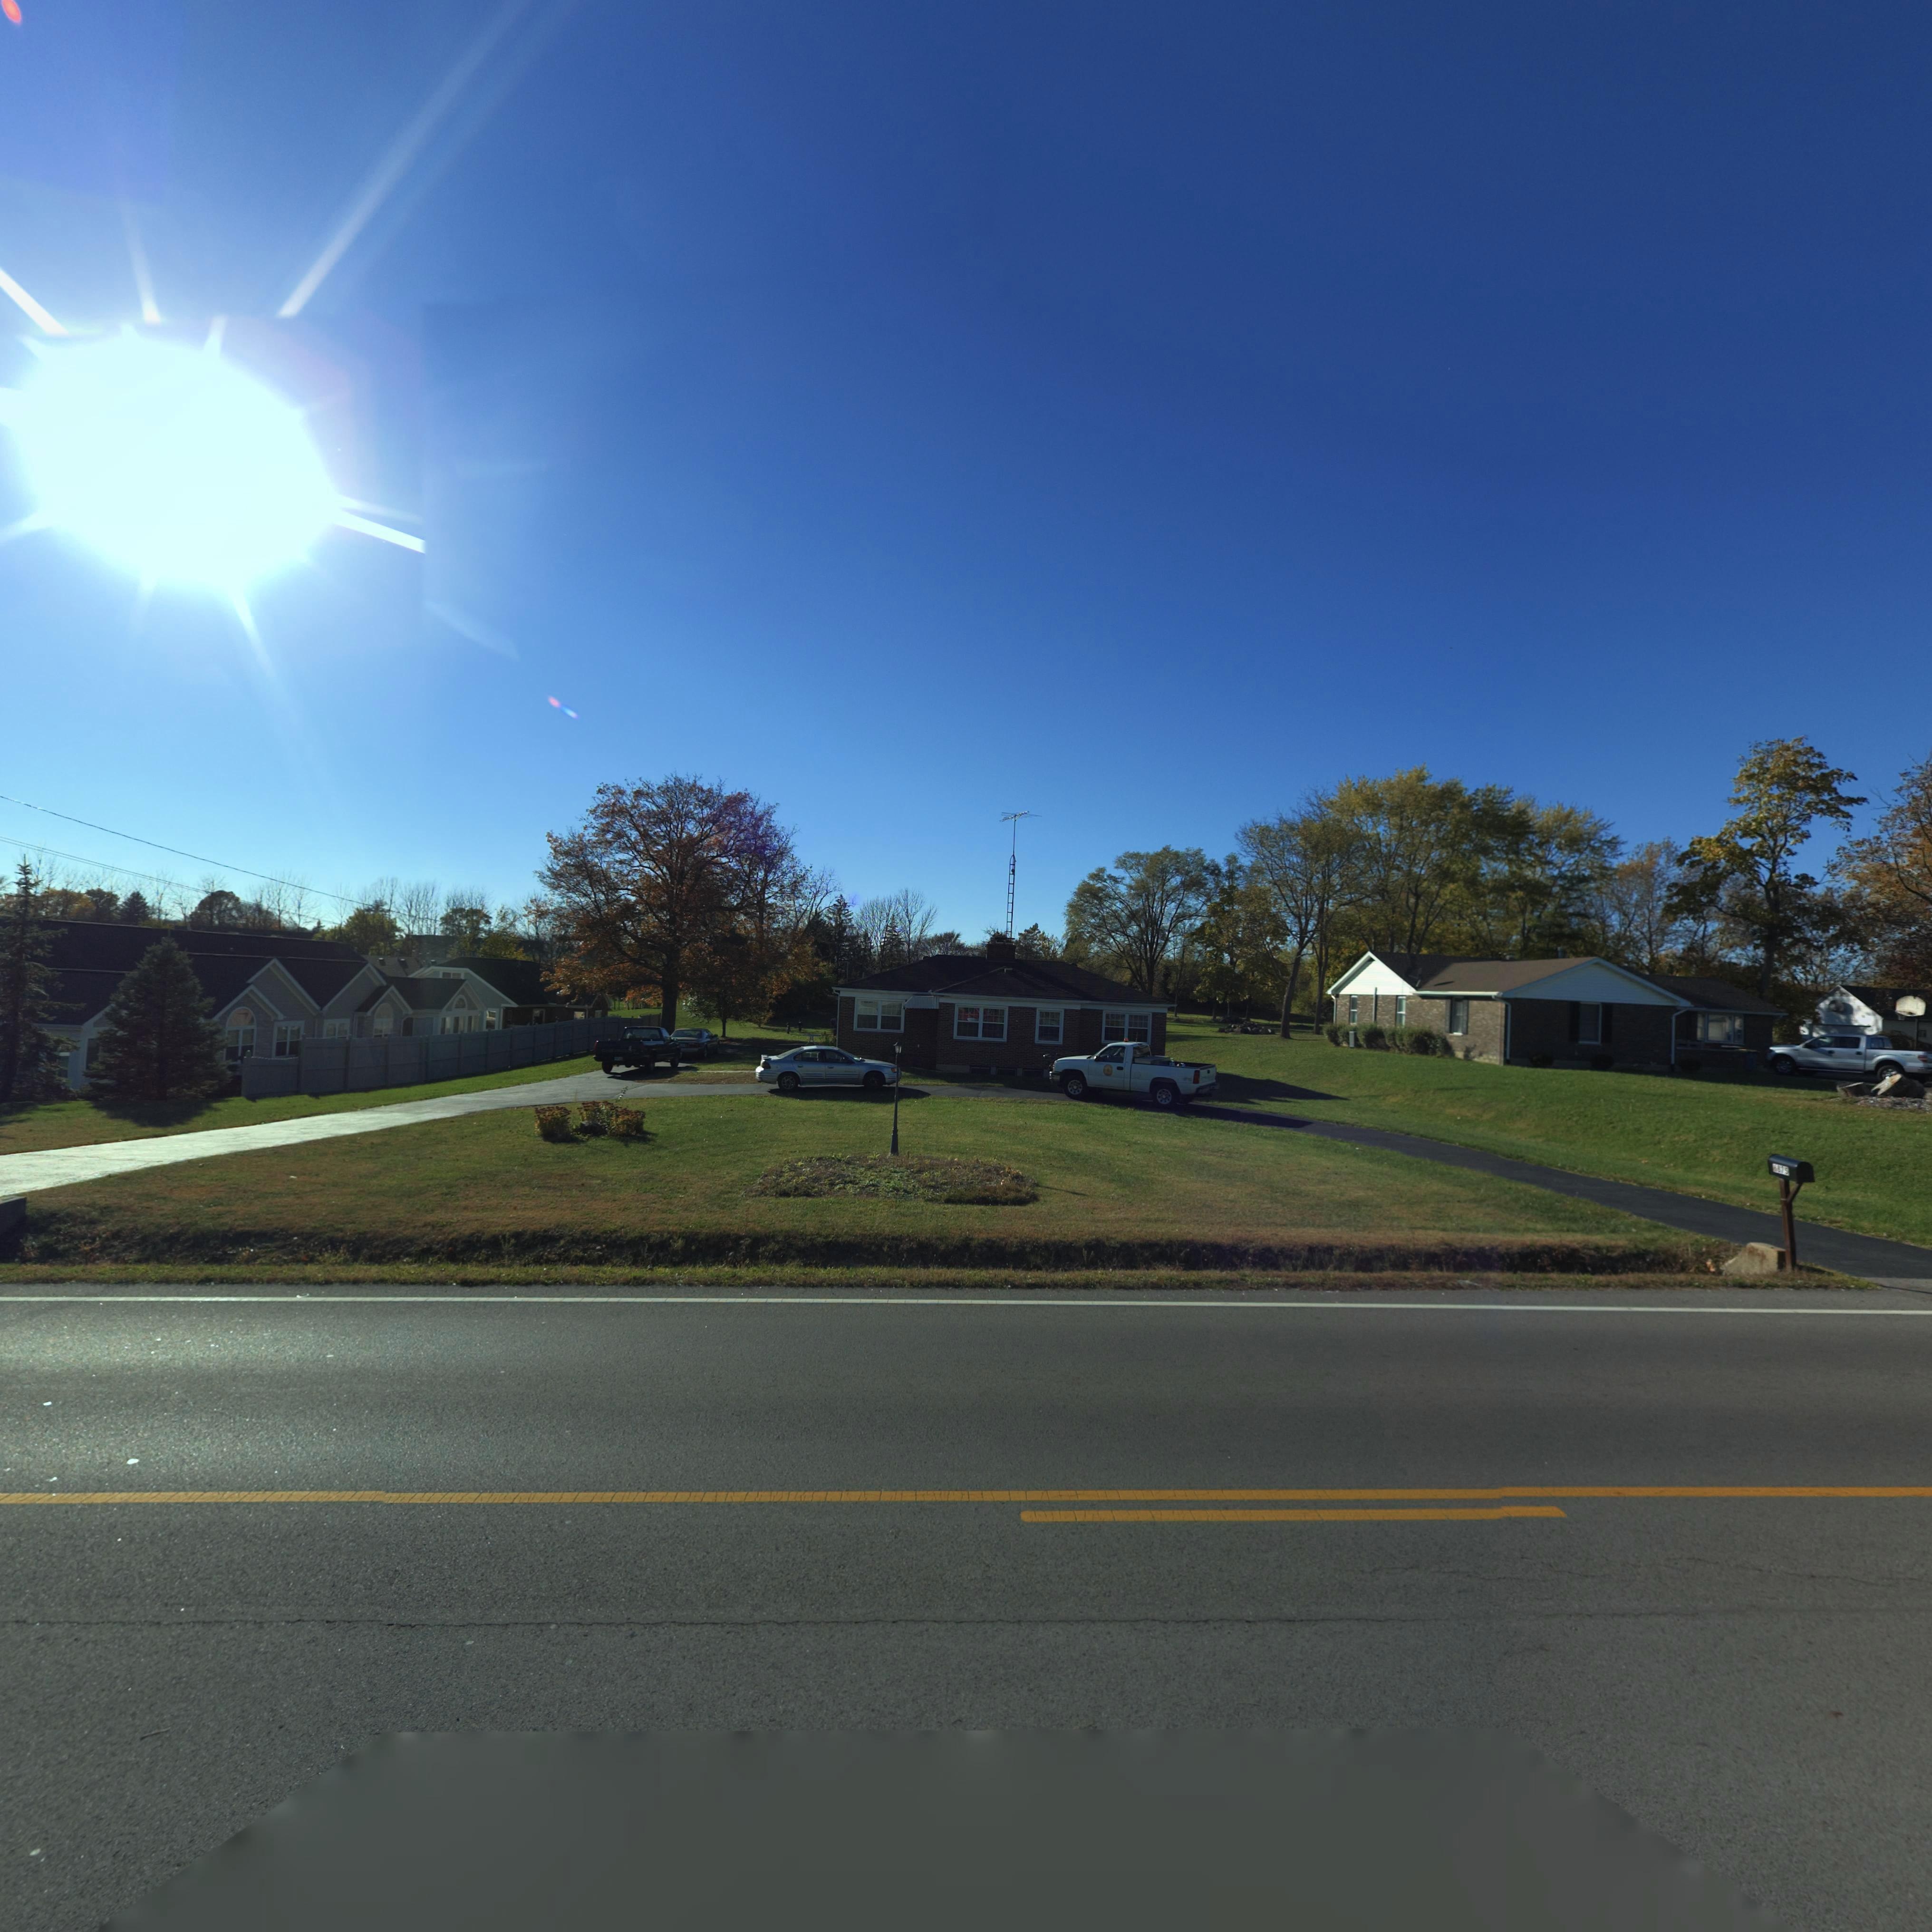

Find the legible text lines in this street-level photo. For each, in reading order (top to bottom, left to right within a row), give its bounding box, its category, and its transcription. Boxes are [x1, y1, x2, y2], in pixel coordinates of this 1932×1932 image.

[1772, 1162, 1789, 1176] StreetNumber: **75